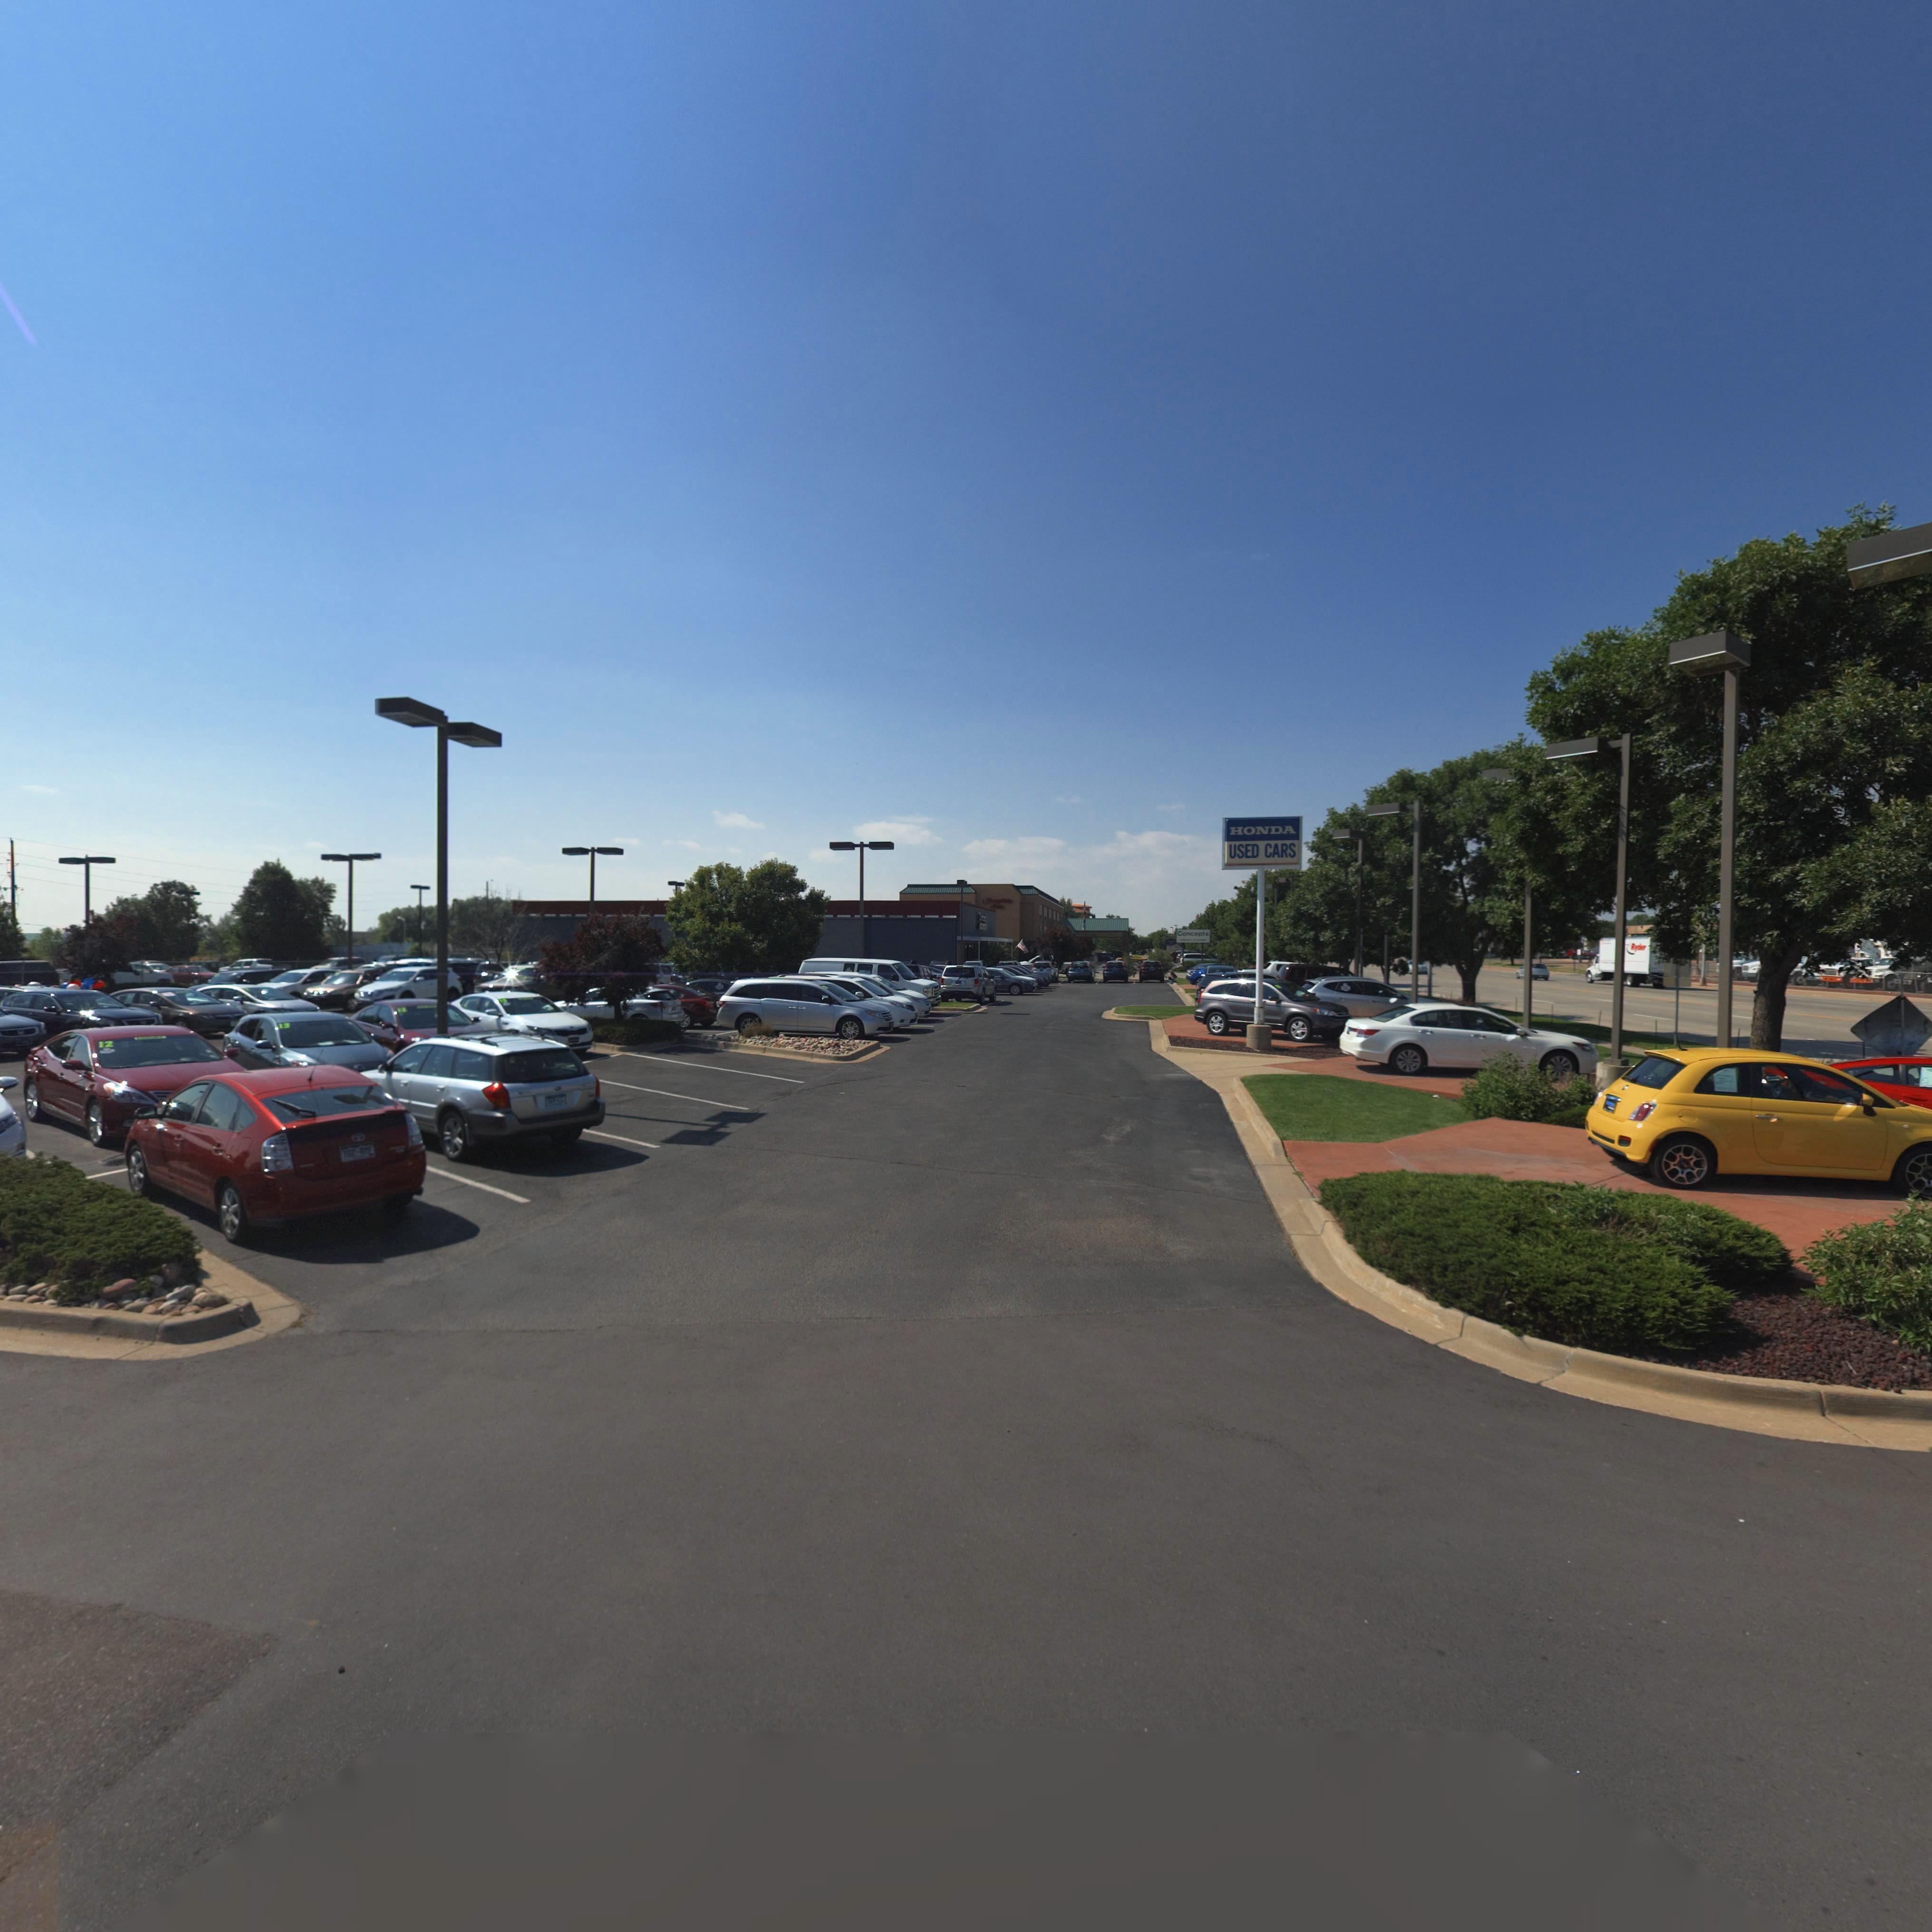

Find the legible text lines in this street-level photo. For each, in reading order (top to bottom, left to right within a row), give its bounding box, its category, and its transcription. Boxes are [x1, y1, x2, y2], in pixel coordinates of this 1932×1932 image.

[1229, 825, 1297, 835] BusinessName: HONDA
[1228, 842, 1296, 859] BusinessName: USED CARS
[1177, 930, 1209, 937] BusinessName: Conc*pts